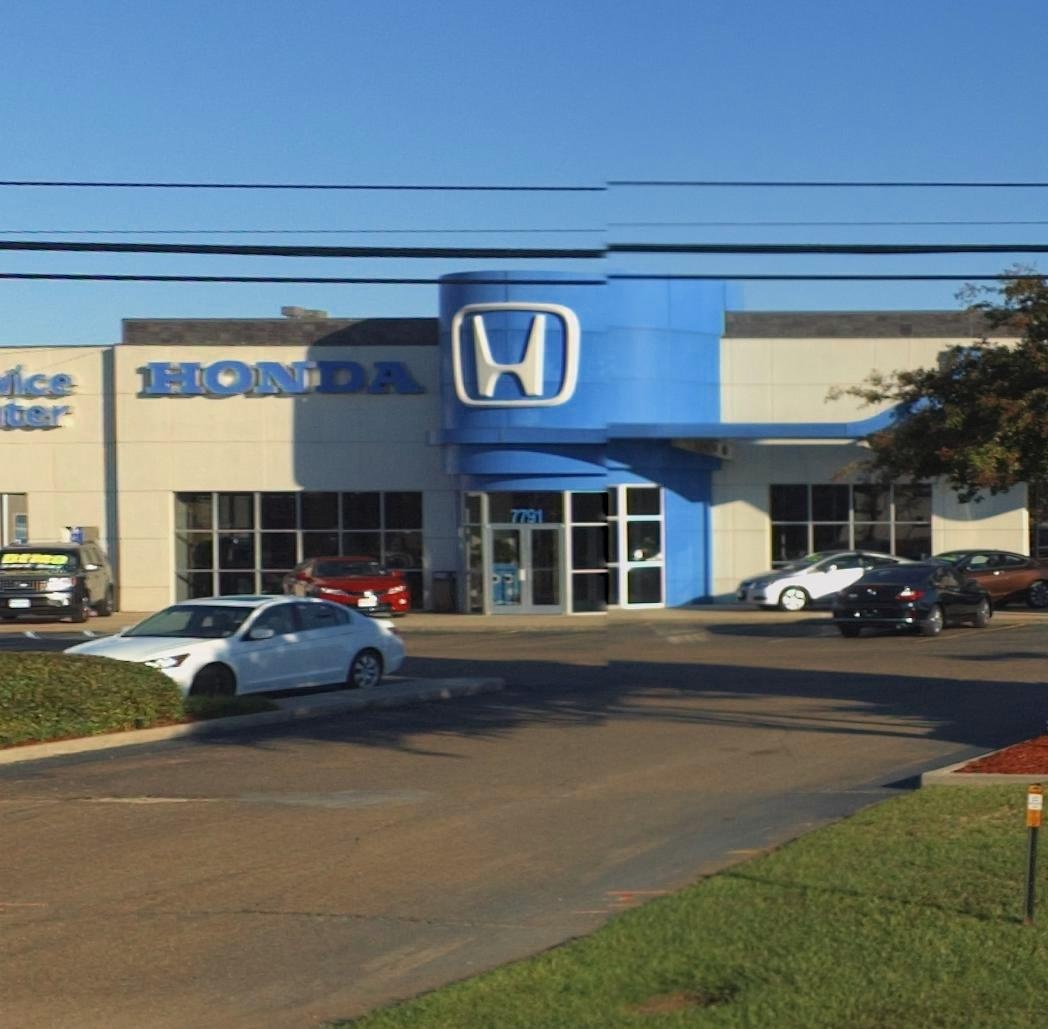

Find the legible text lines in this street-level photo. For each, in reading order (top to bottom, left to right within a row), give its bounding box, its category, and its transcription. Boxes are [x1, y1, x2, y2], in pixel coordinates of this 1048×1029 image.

[469, 311, 549, 400] None: H
[10, 361, 73, 398] None: ice
[141, 357, 424, 397] BusinessName: HONDA
[3, 399, 72, 429] None: ter
[507, 506, 545, 526] StreetNumber: 7791